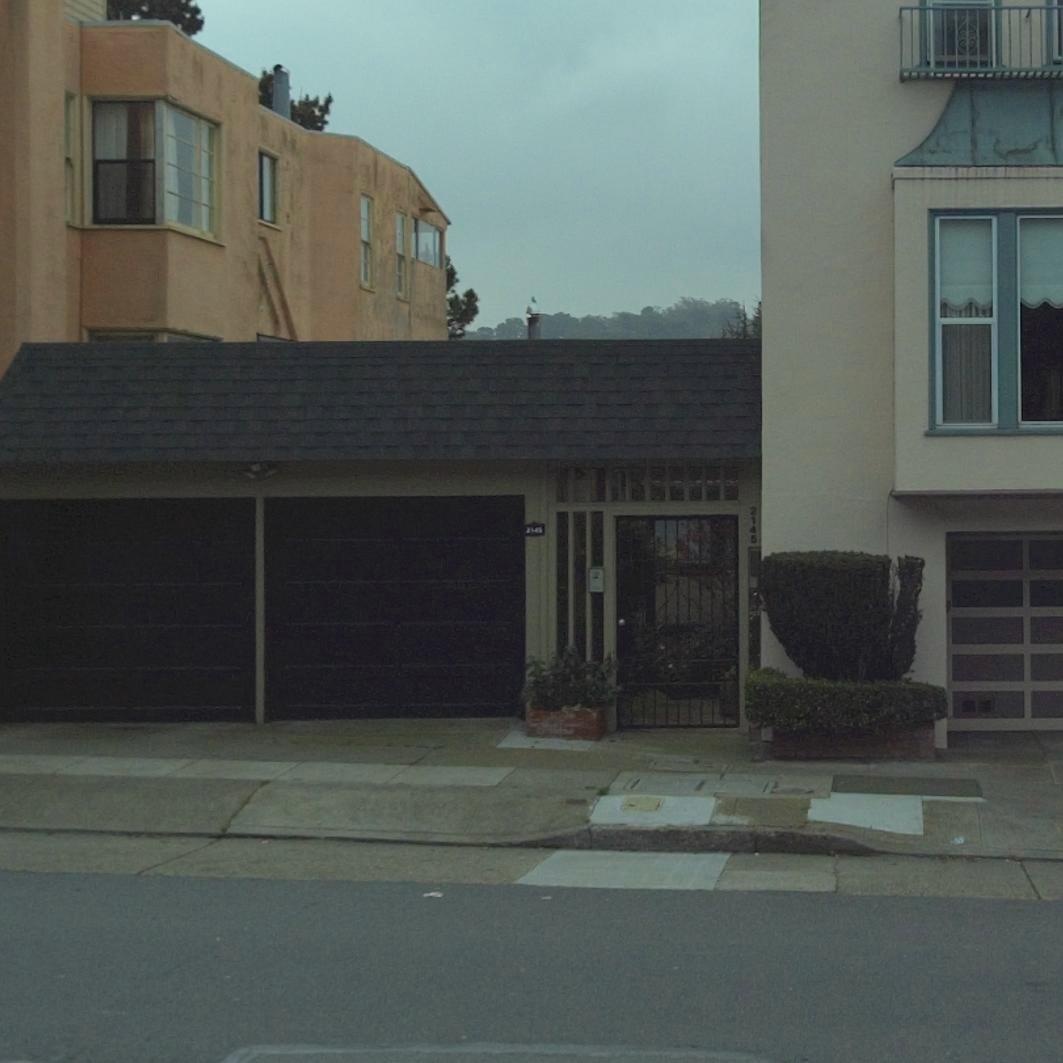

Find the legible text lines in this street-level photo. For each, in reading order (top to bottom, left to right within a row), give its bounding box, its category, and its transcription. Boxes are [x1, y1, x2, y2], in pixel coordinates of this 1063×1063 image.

[525, 526, 544, 534] StreetNumber: 2143
[749, 504, 757, 544] StreetNumber: 2145